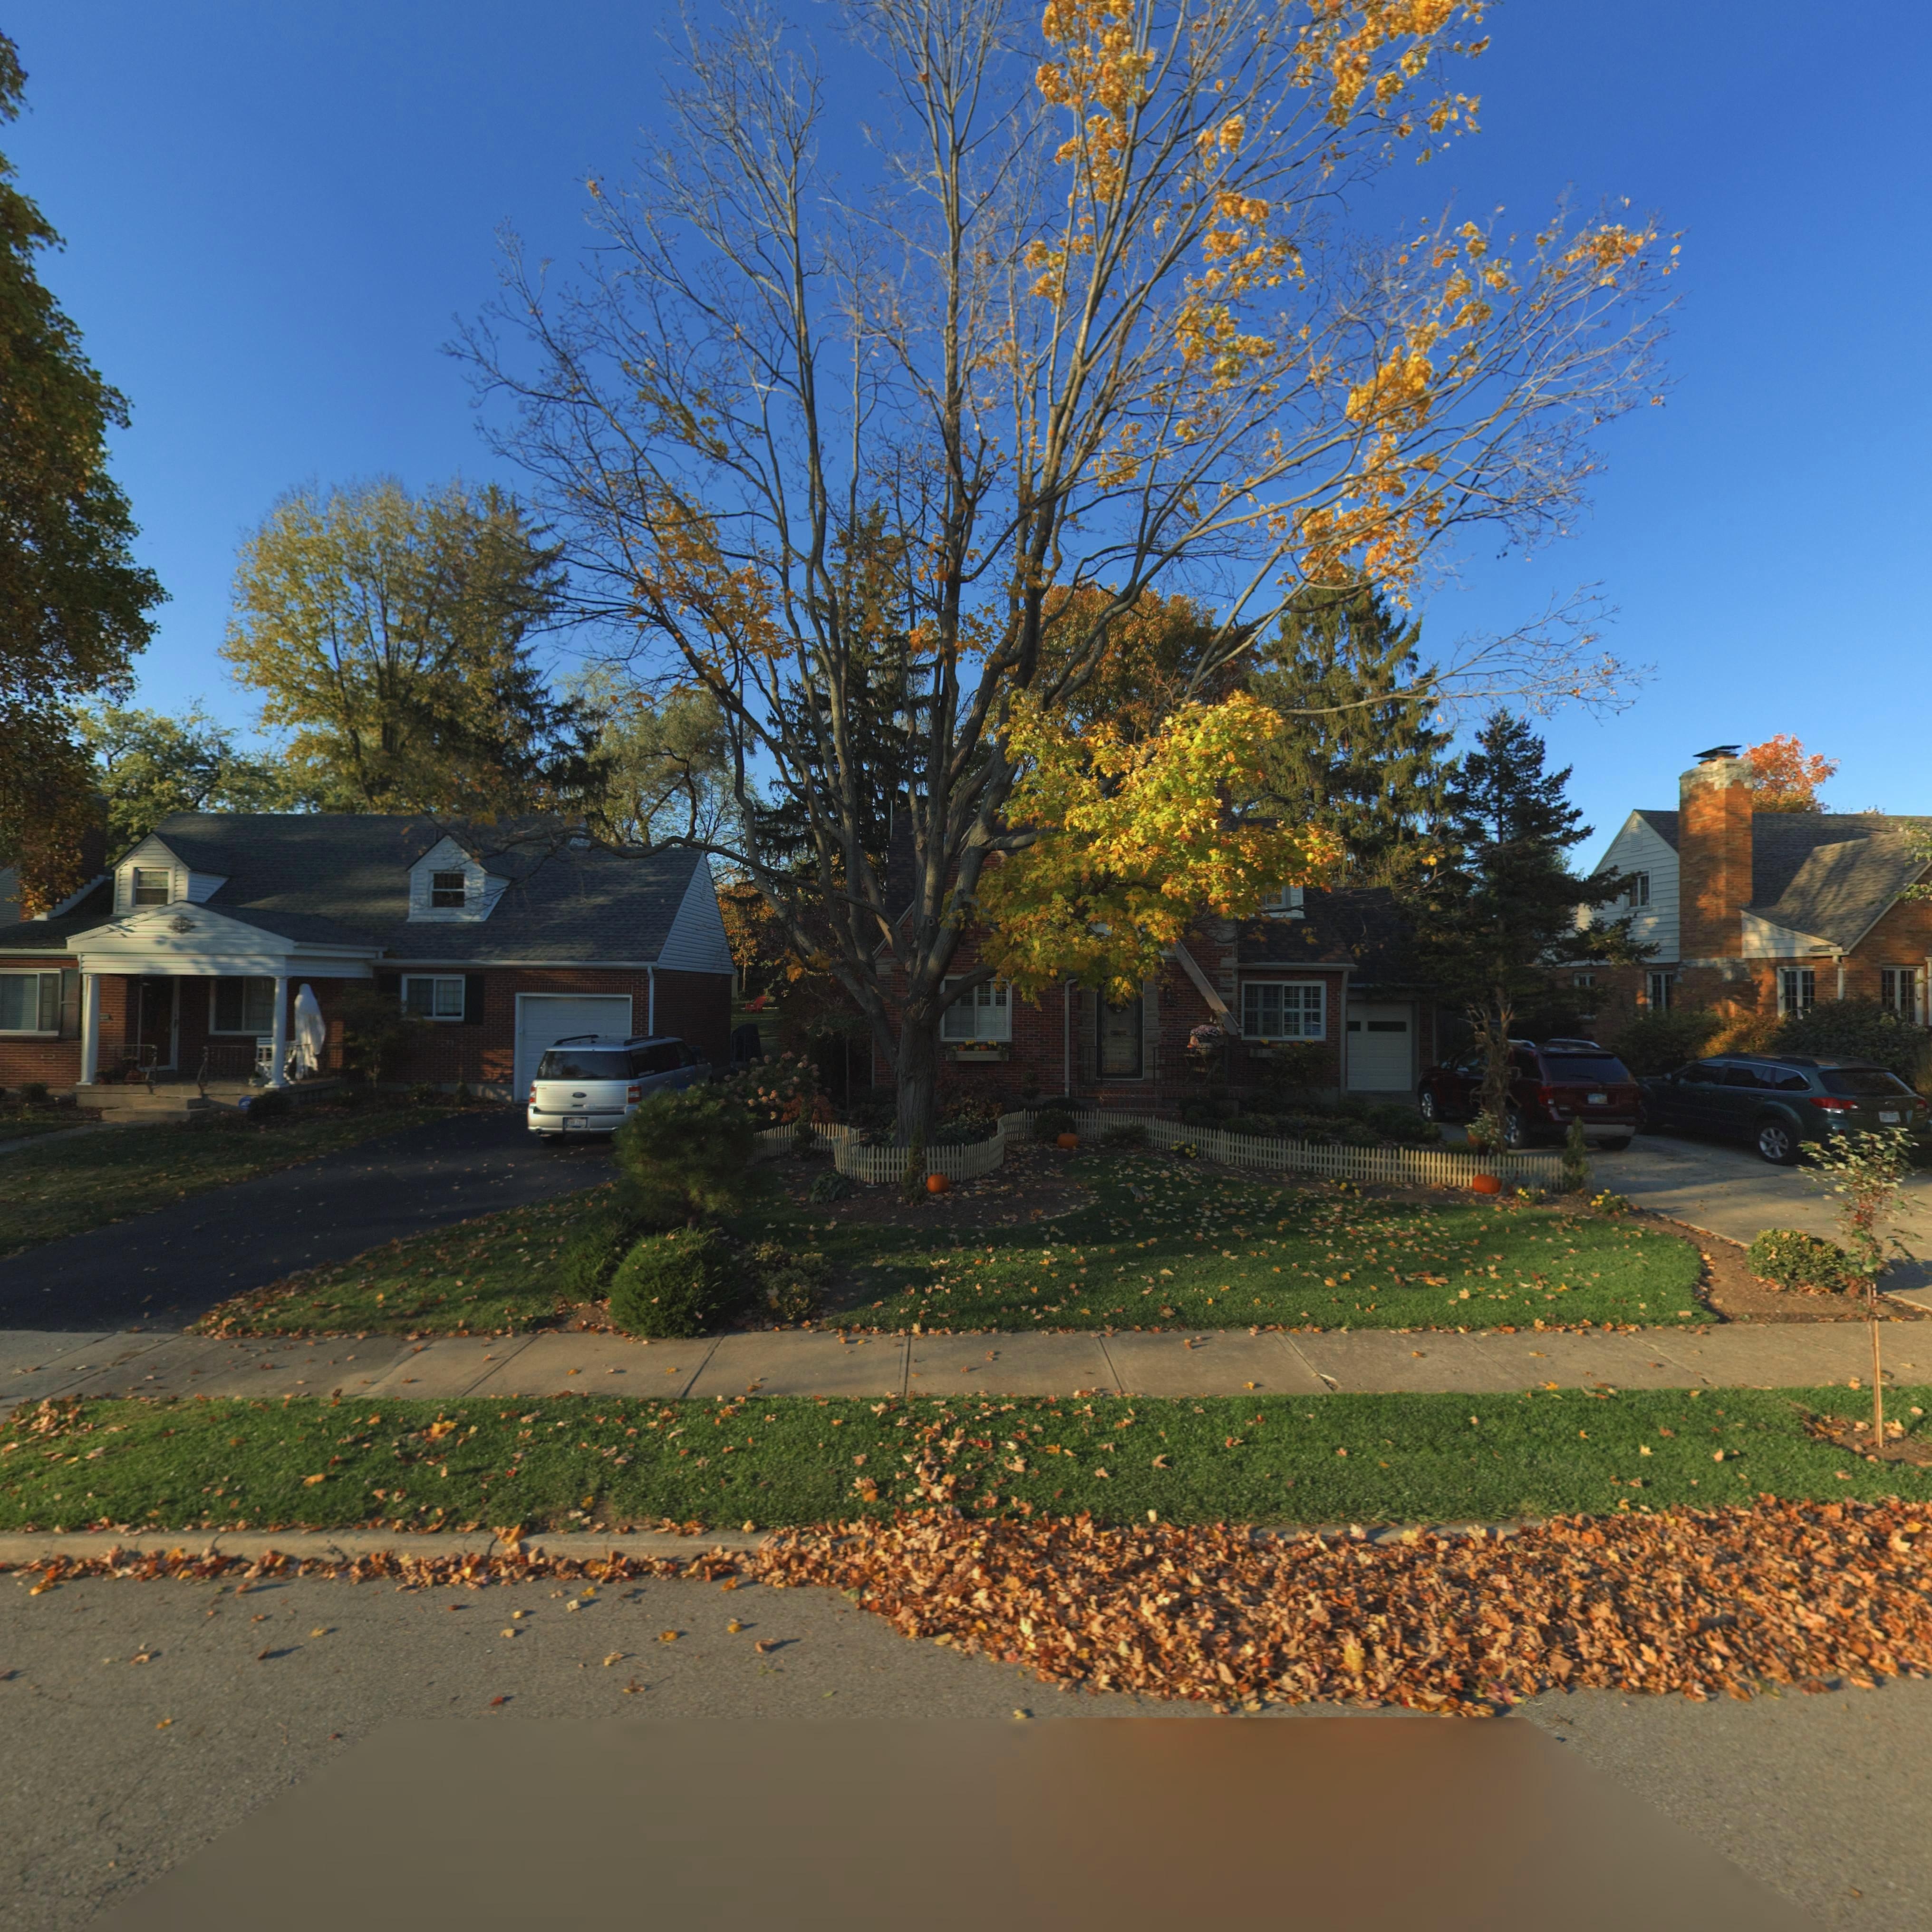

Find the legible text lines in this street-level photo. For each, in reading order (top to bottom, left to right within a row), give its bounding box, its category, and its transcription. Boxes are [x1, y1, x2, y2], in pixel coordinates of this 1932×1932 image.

[1166, 999, 1177, 1005] StreetNumber: 20*